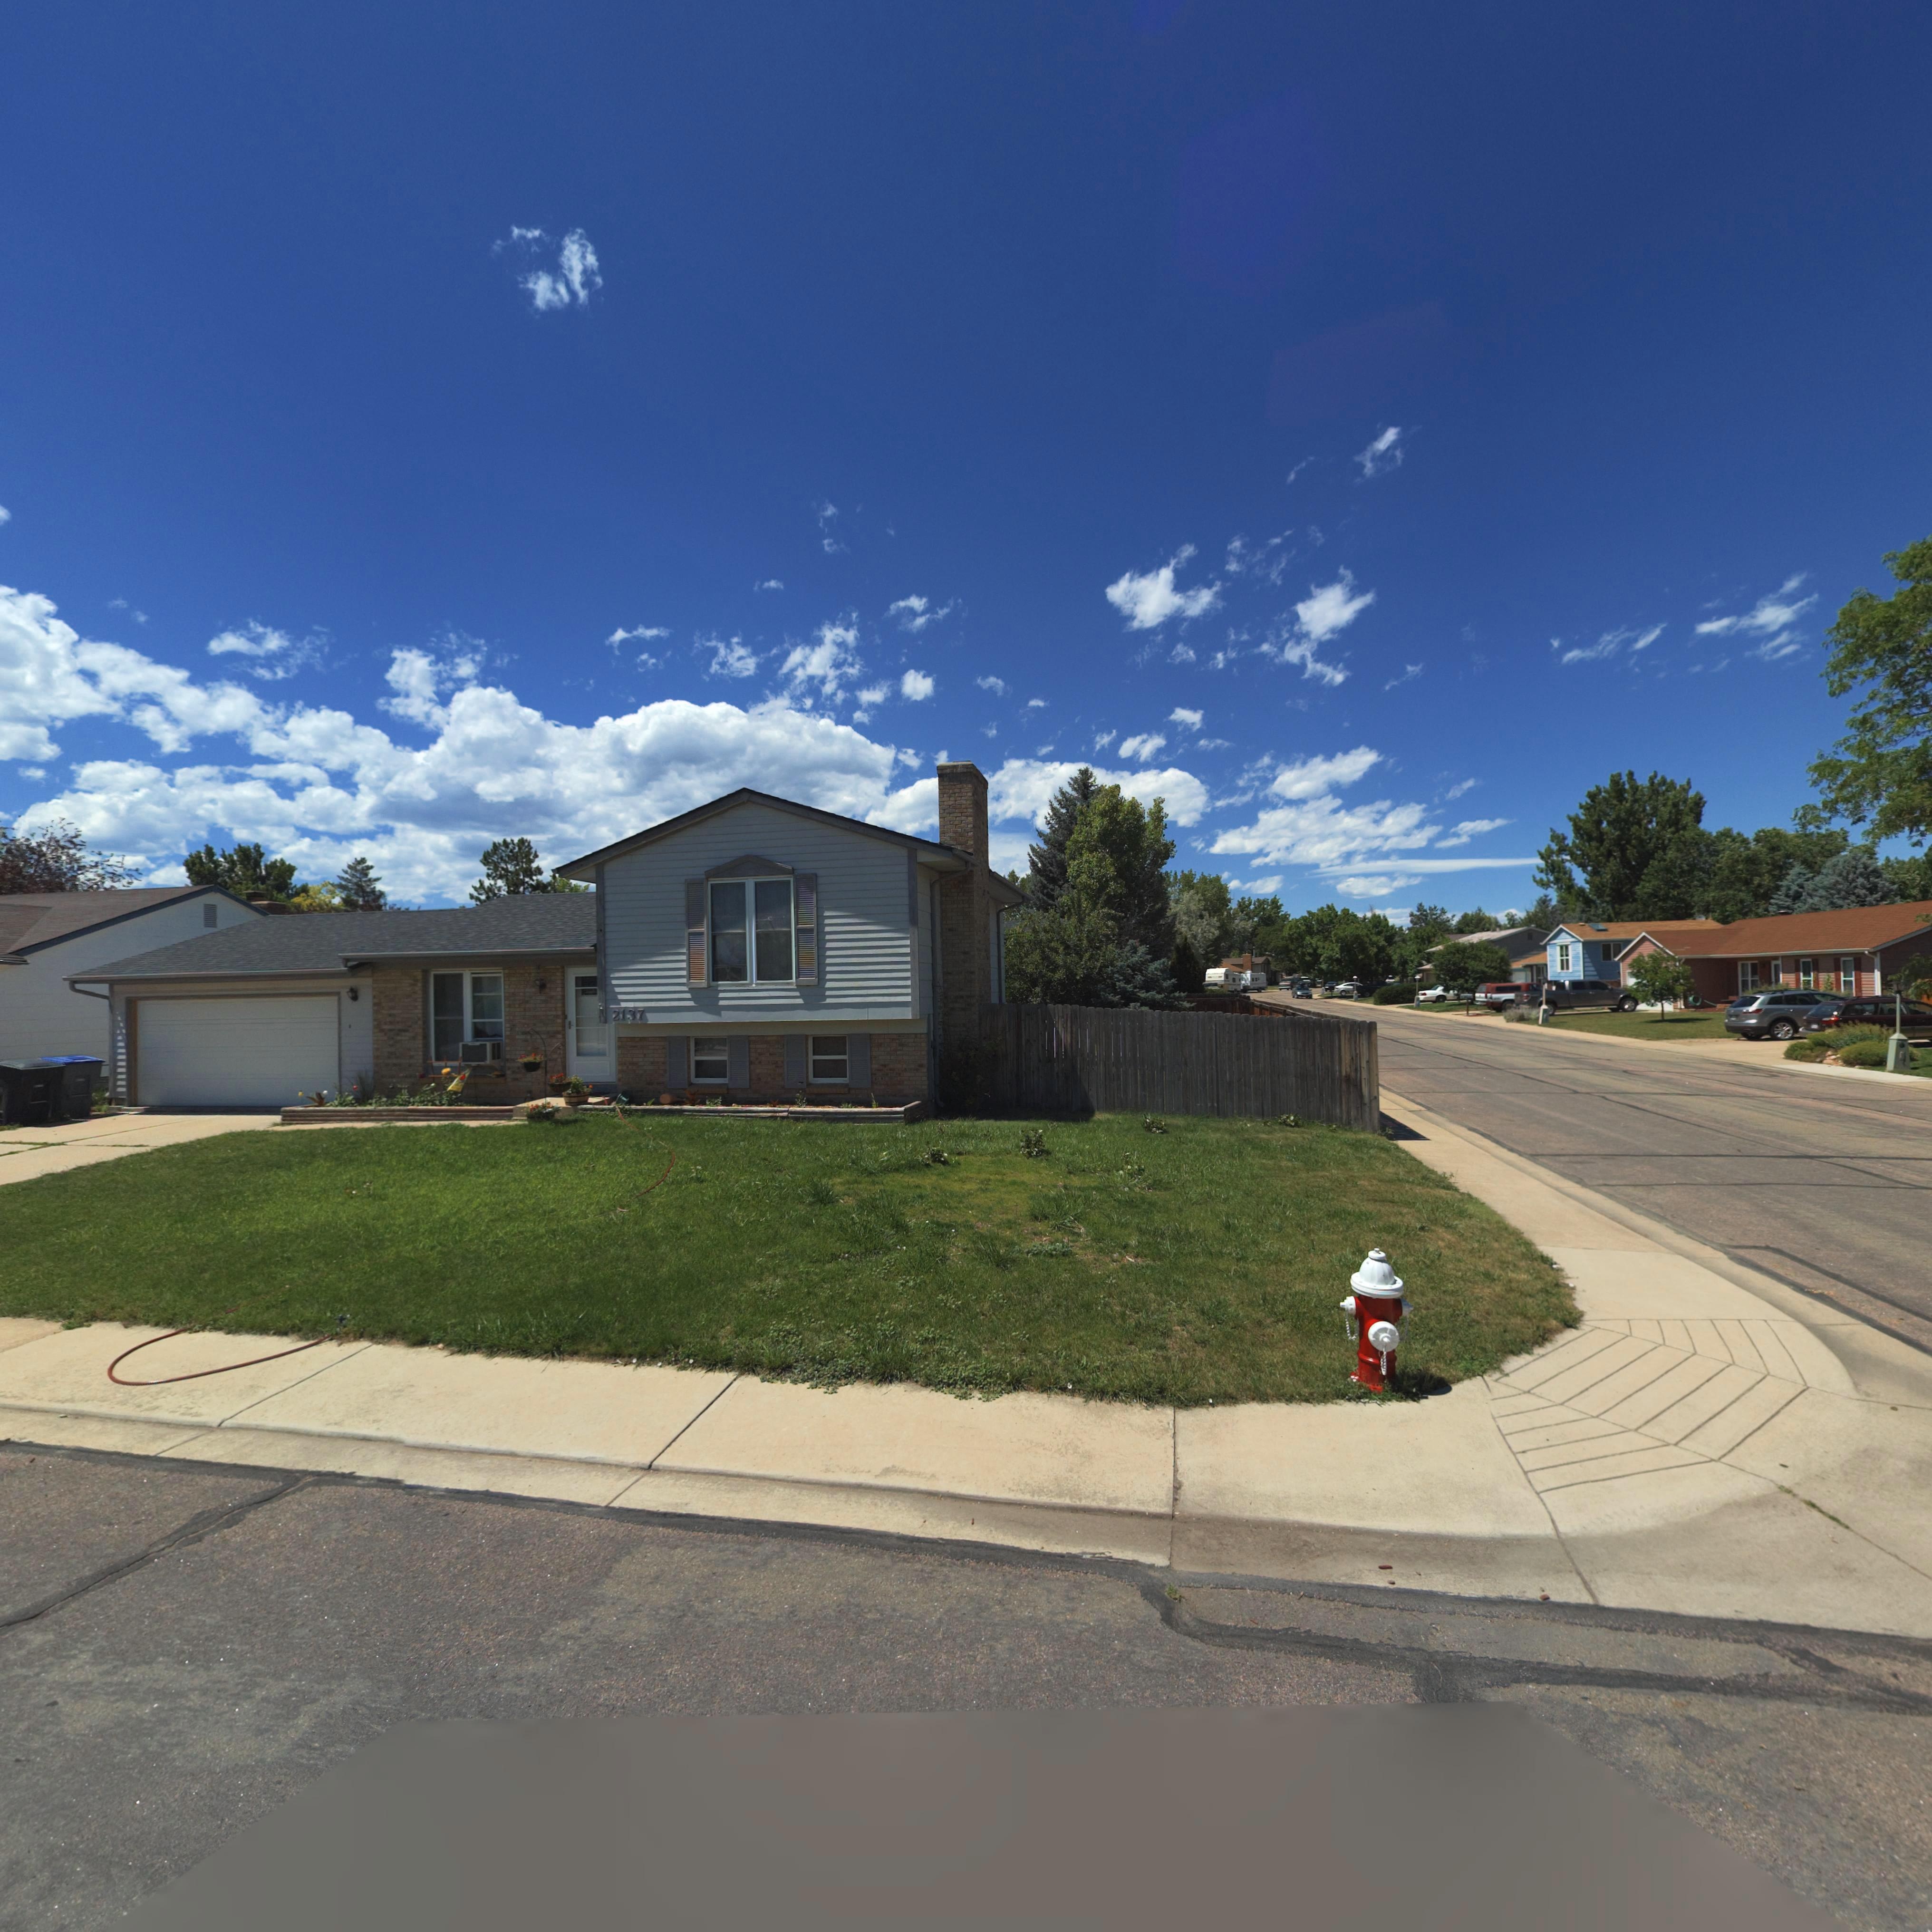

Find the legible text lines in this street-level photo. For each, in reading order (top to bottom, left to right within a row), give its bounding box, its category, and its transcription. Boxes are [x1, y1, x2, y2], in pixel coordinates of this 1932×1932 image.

[612, 1008, 645, 1021] StreetNumber: 2137